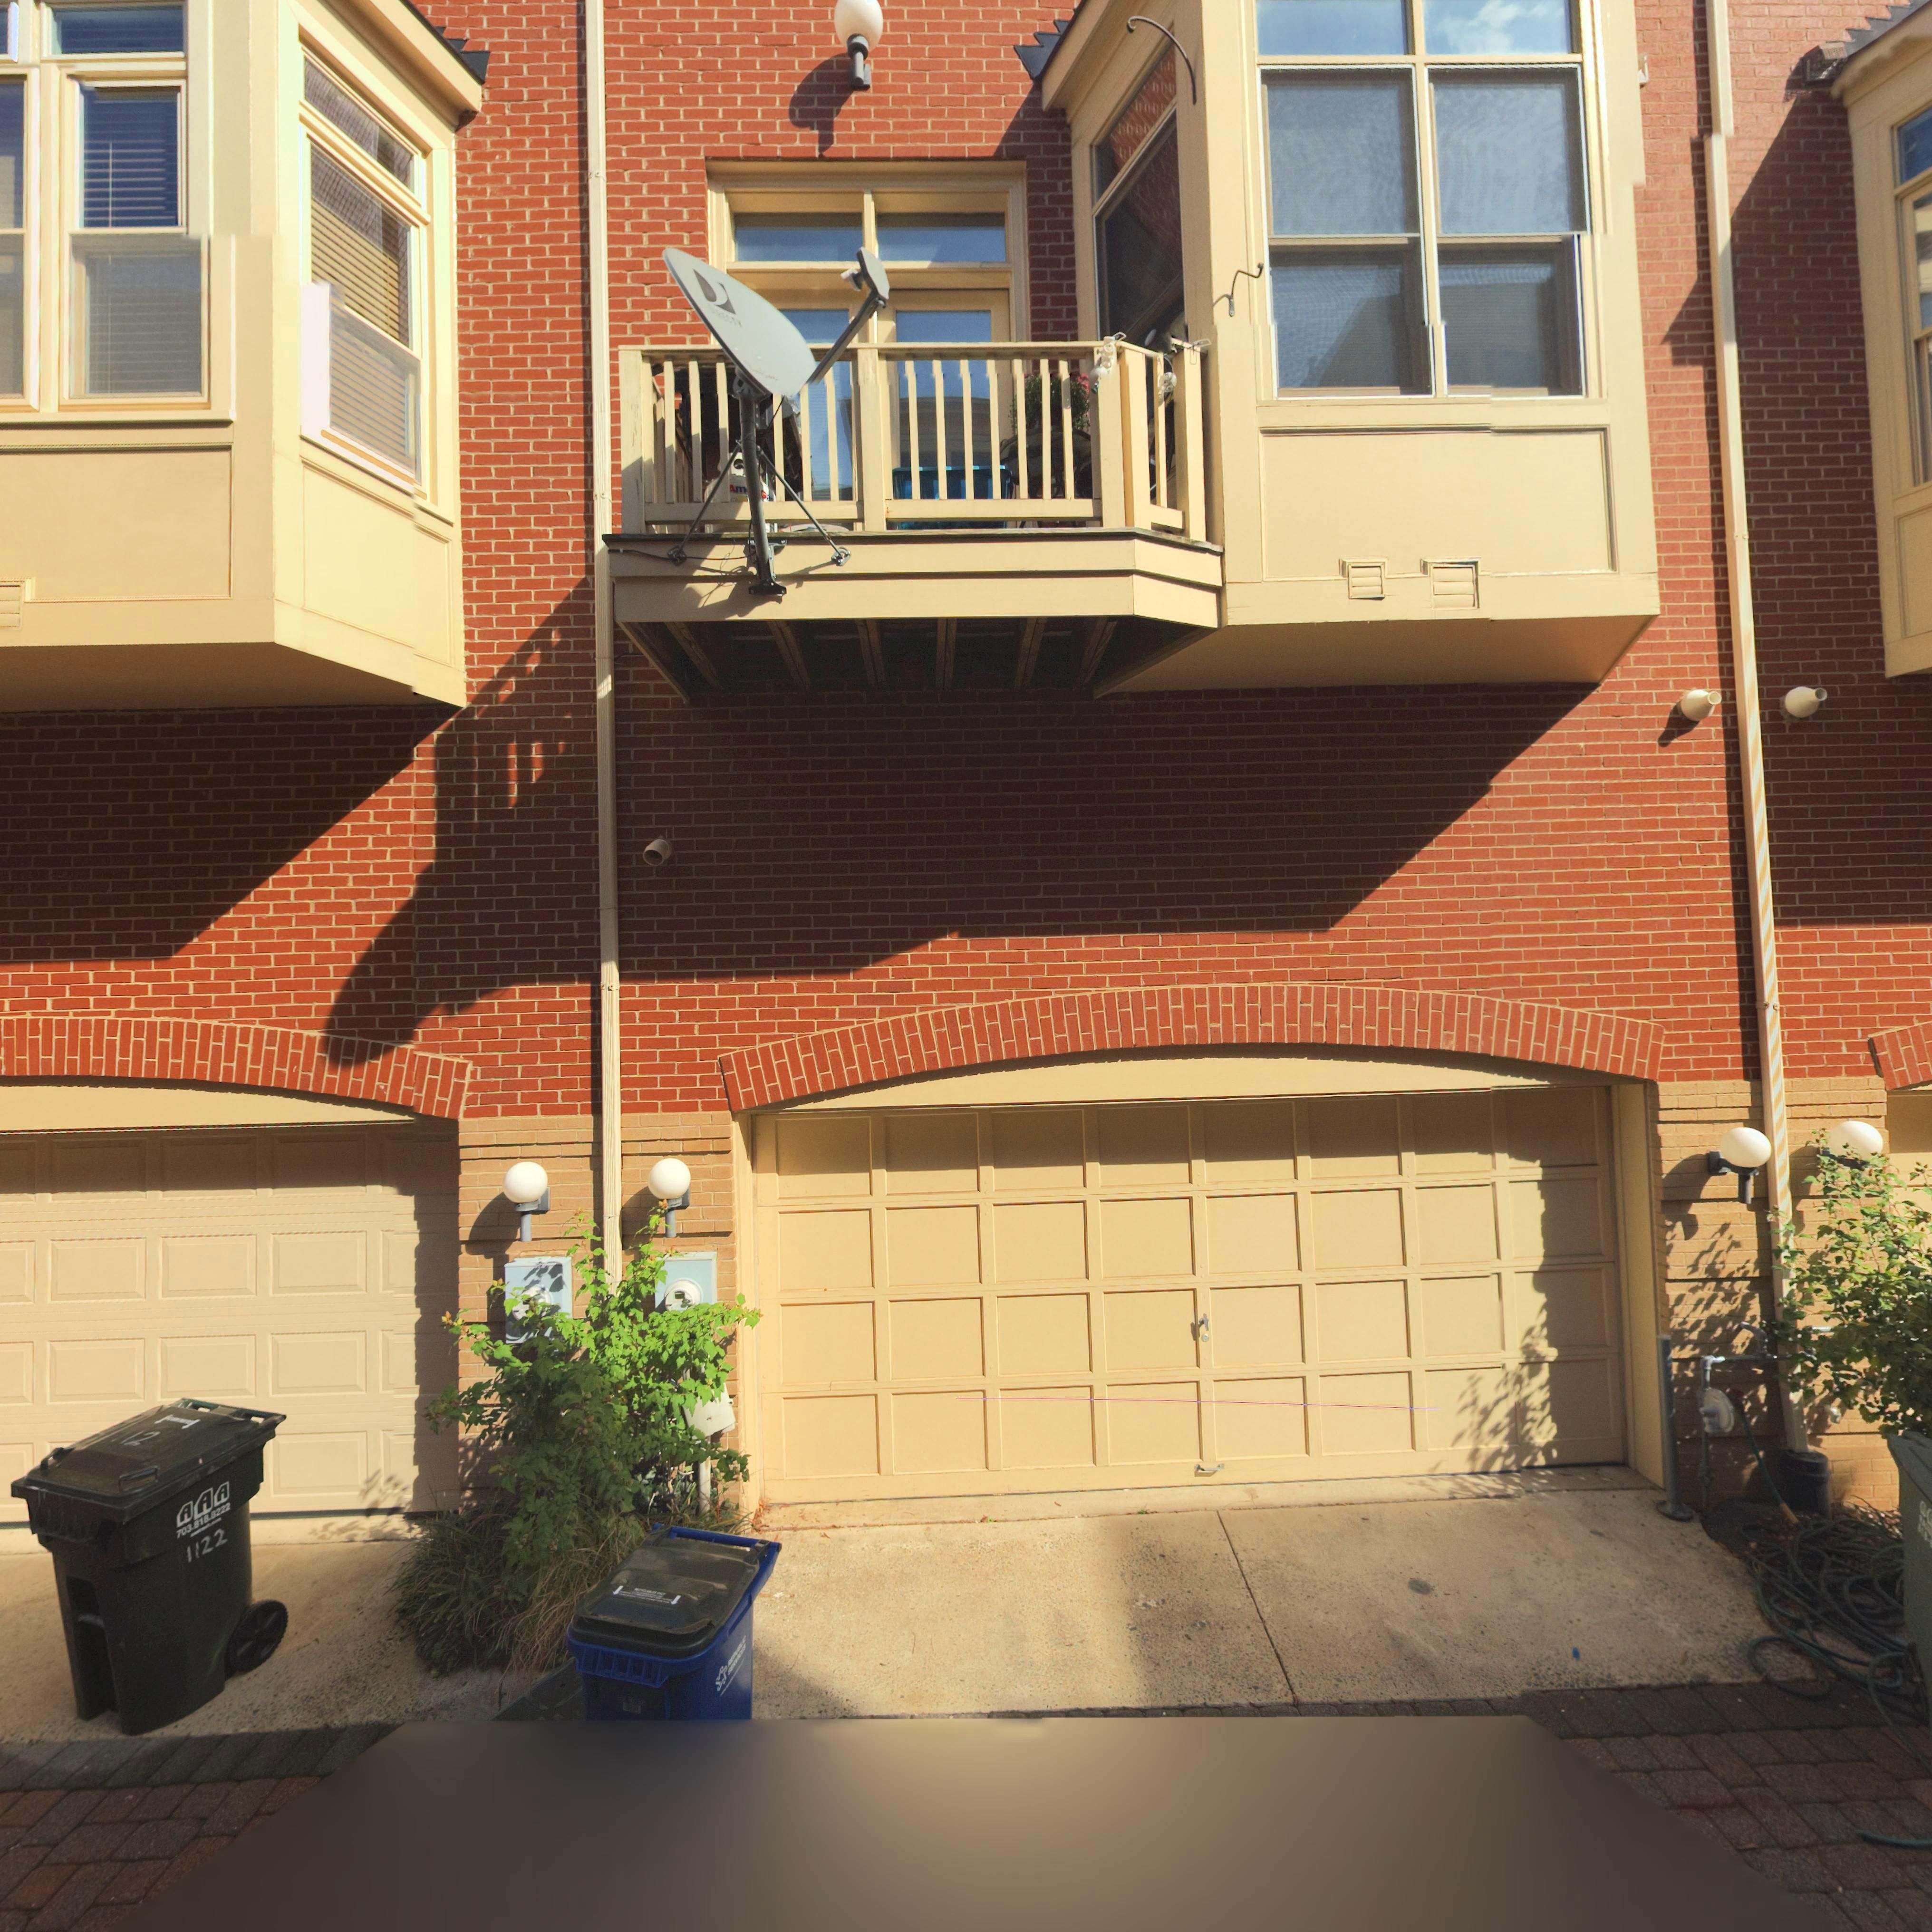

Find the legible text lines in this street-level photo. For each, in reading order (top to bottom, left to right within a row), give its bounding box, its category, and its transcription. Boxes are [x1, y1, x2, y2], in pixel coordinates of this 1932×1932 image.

[117, 1428, 162, 1448] None: 12
[175, 1500, 232, 1540] None: 703.818.8222
[179, 1482, 229, 1525] None: AAA
[185, 1526, 229, 1564] None: 1122